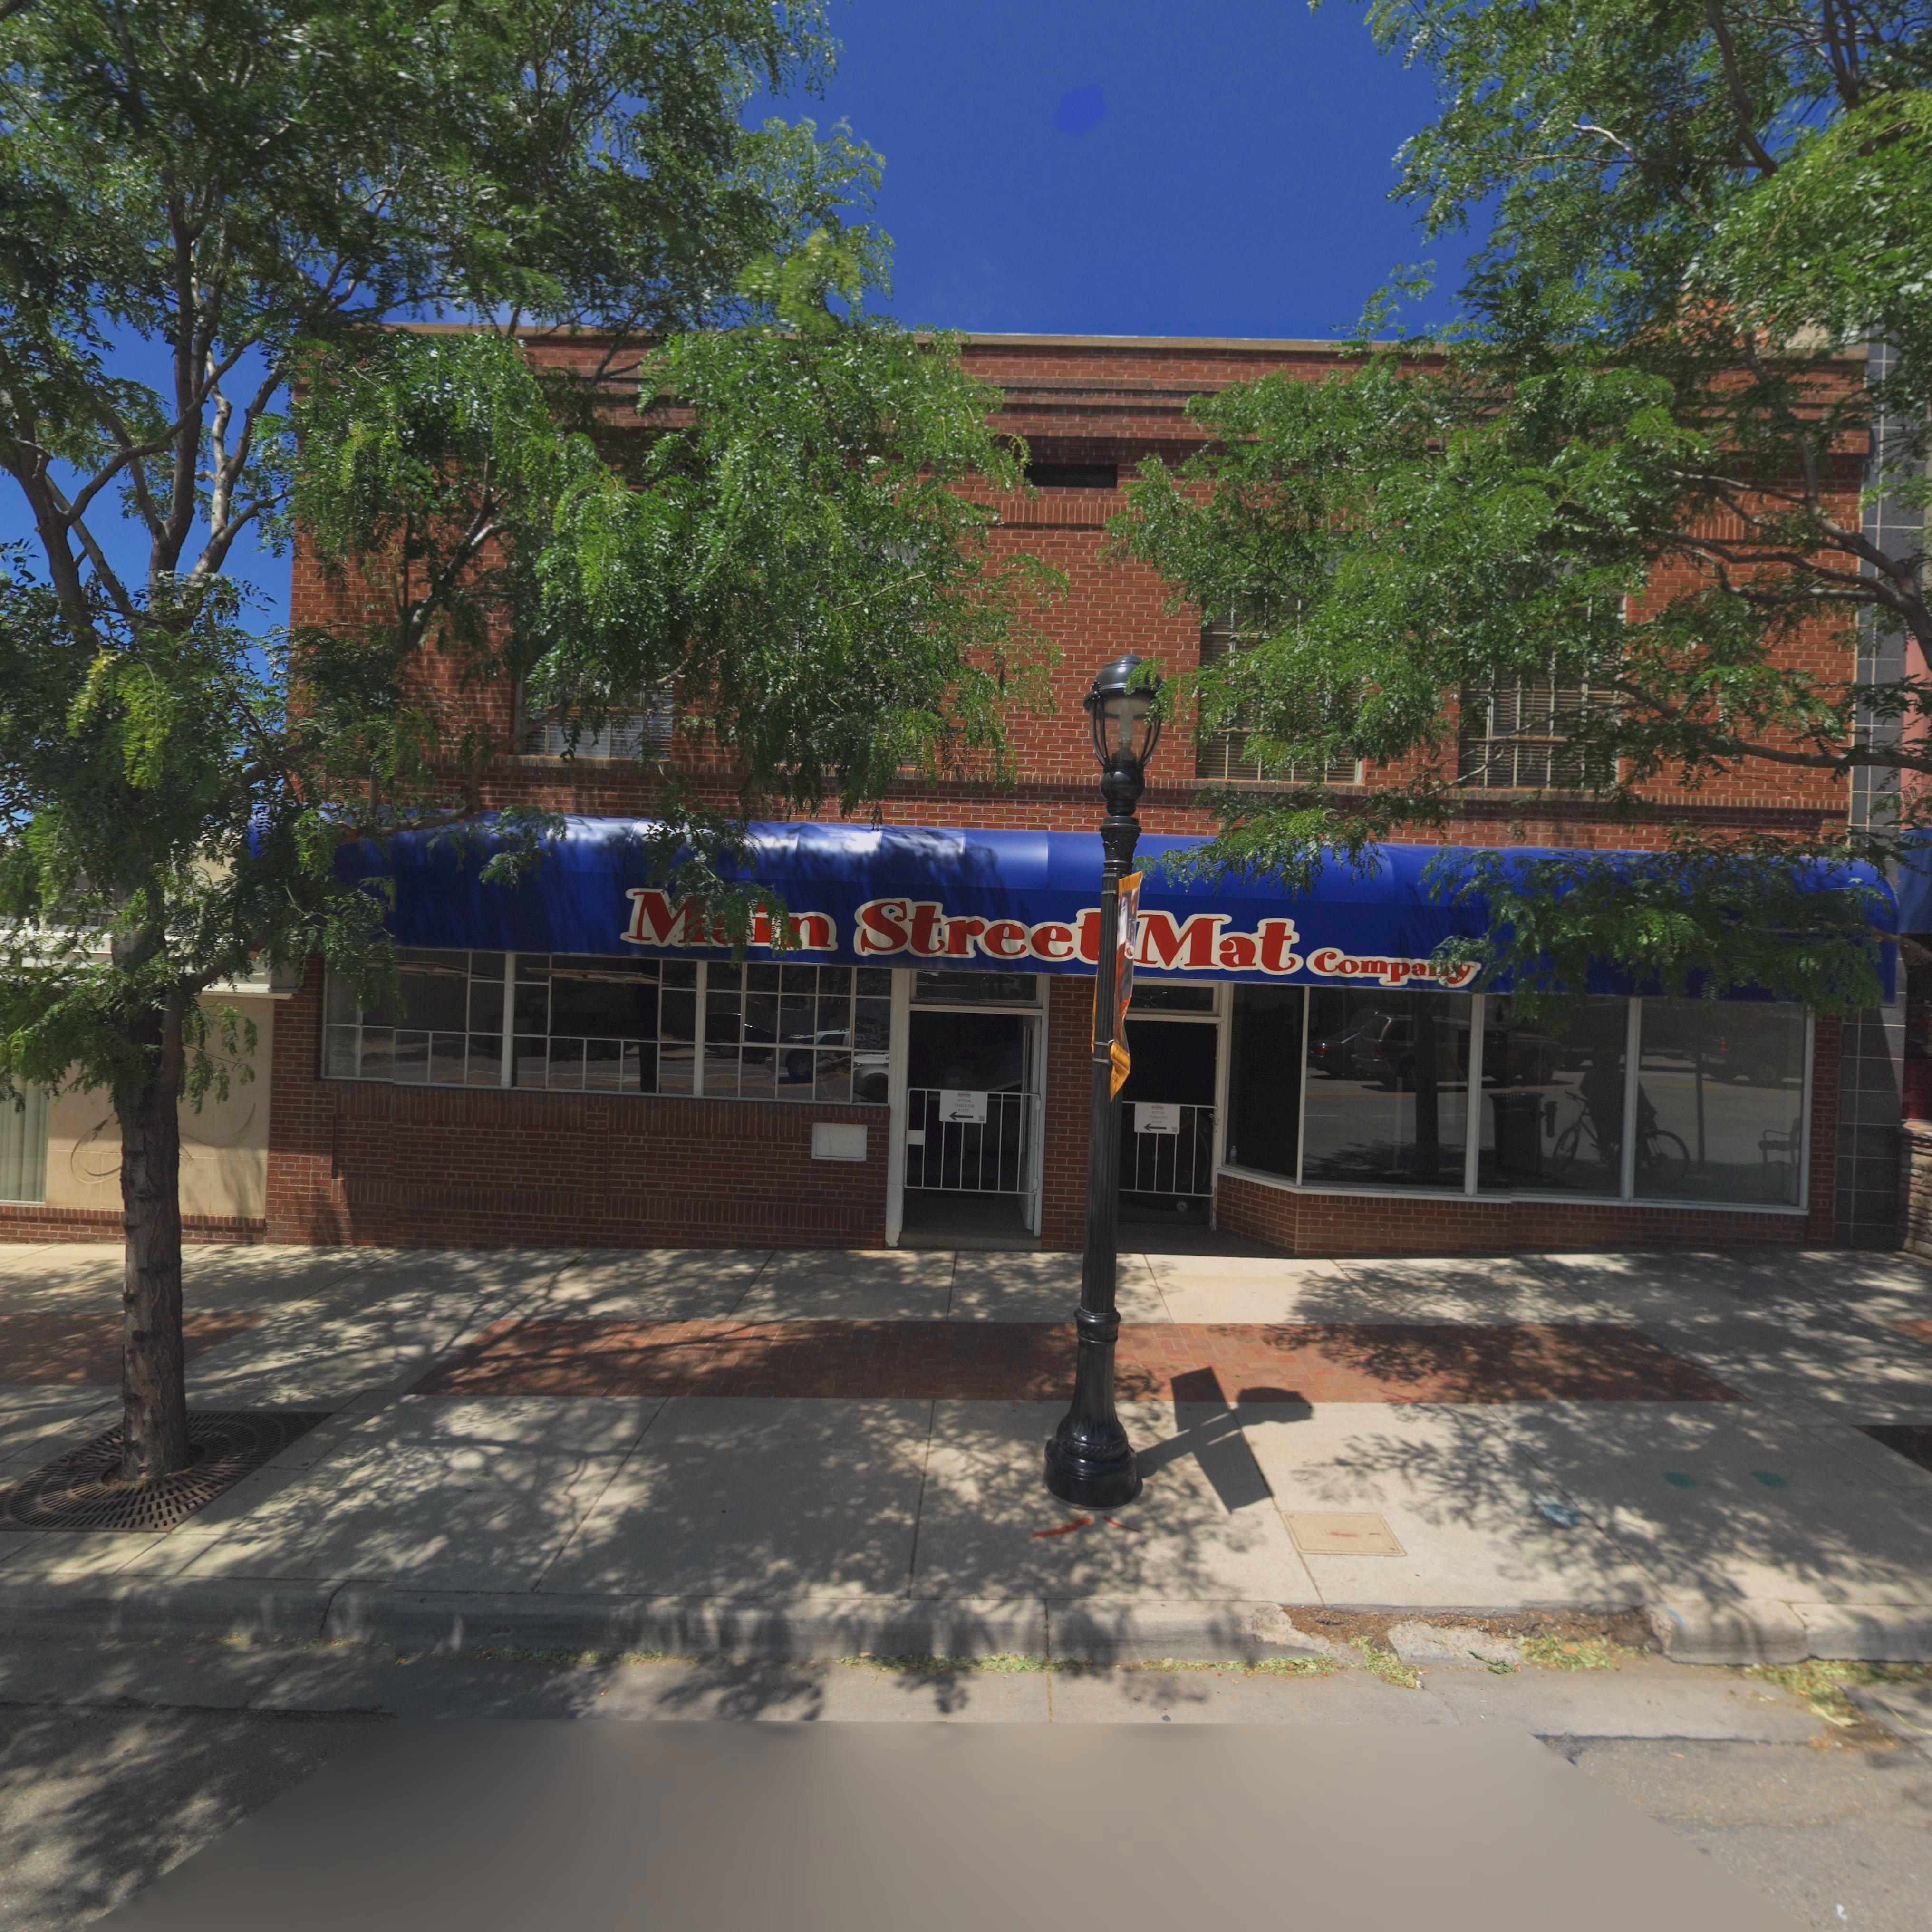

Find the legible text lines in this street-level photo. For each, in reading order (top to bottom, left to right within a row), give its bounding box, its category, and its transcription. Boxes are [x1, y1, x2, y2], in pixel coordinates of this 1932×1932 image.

[623, 887, 1478, 988] BusinessName: M*i* Stree* Mat Company